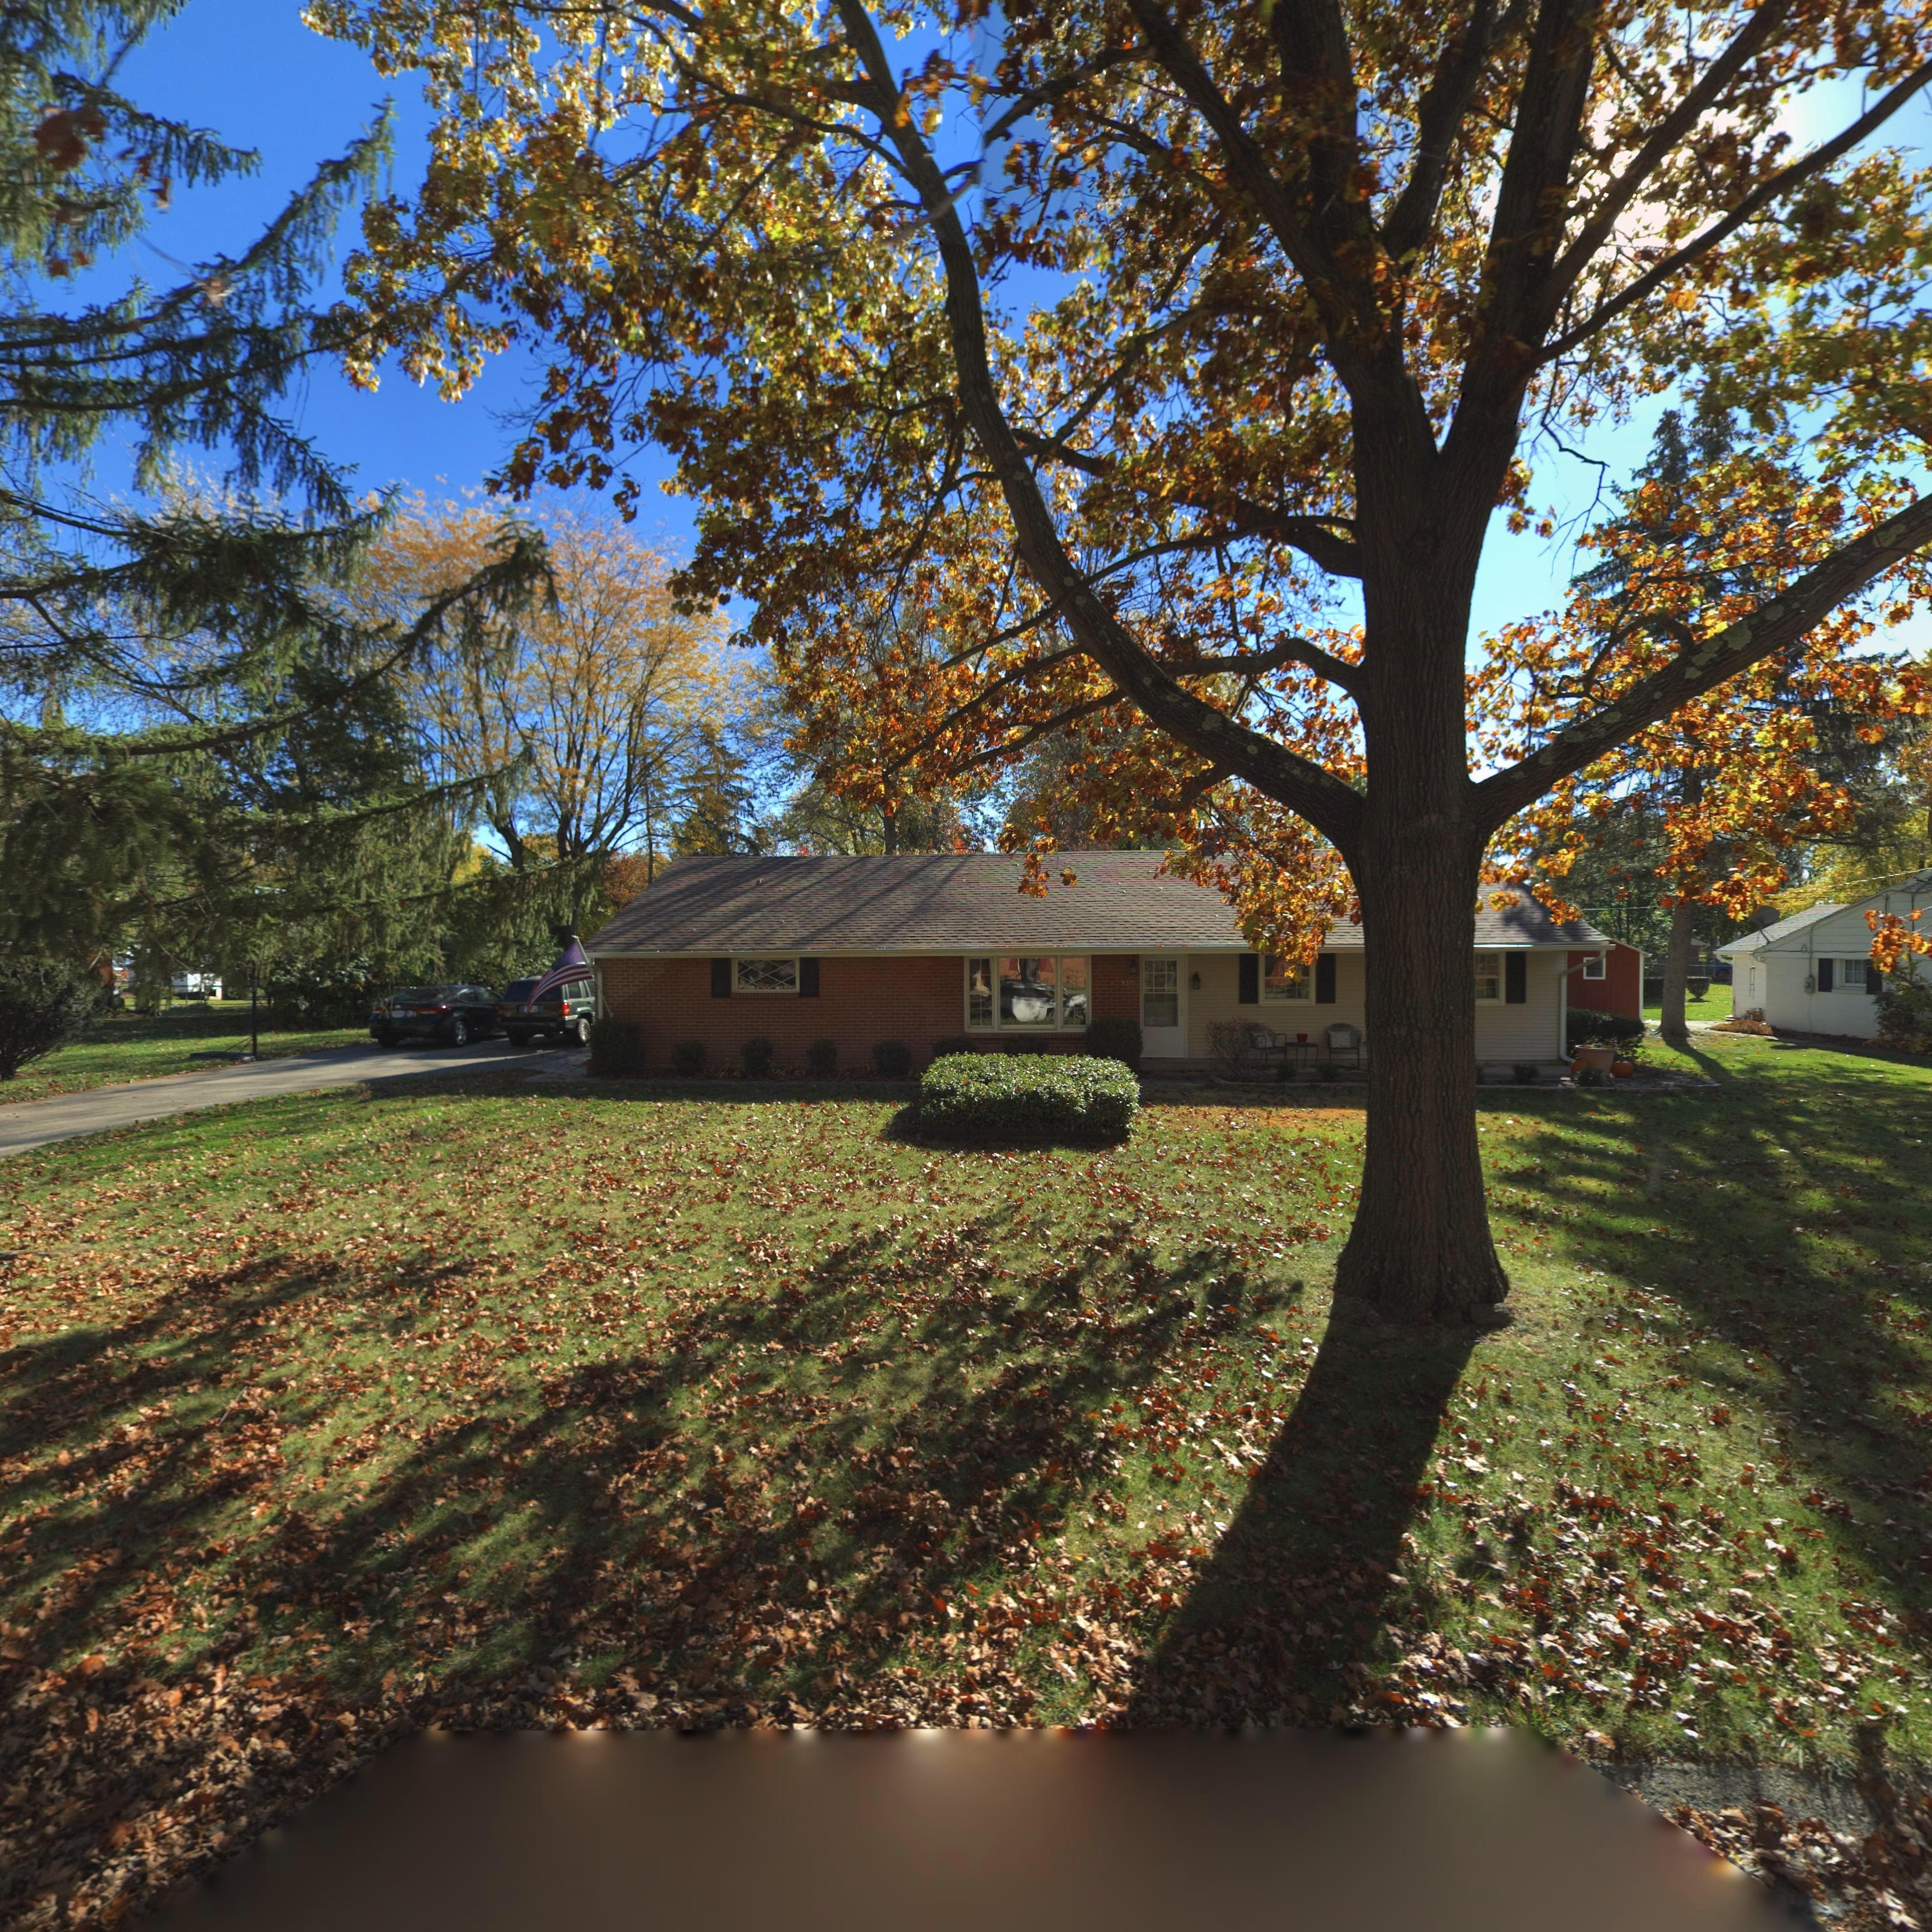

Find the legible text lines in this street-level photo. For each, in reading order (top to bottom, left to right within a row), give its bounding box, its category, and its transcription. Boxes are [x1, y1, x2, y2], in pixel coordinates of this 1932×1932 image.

[1120, 980, 1134, 986] StreetNumber: 536